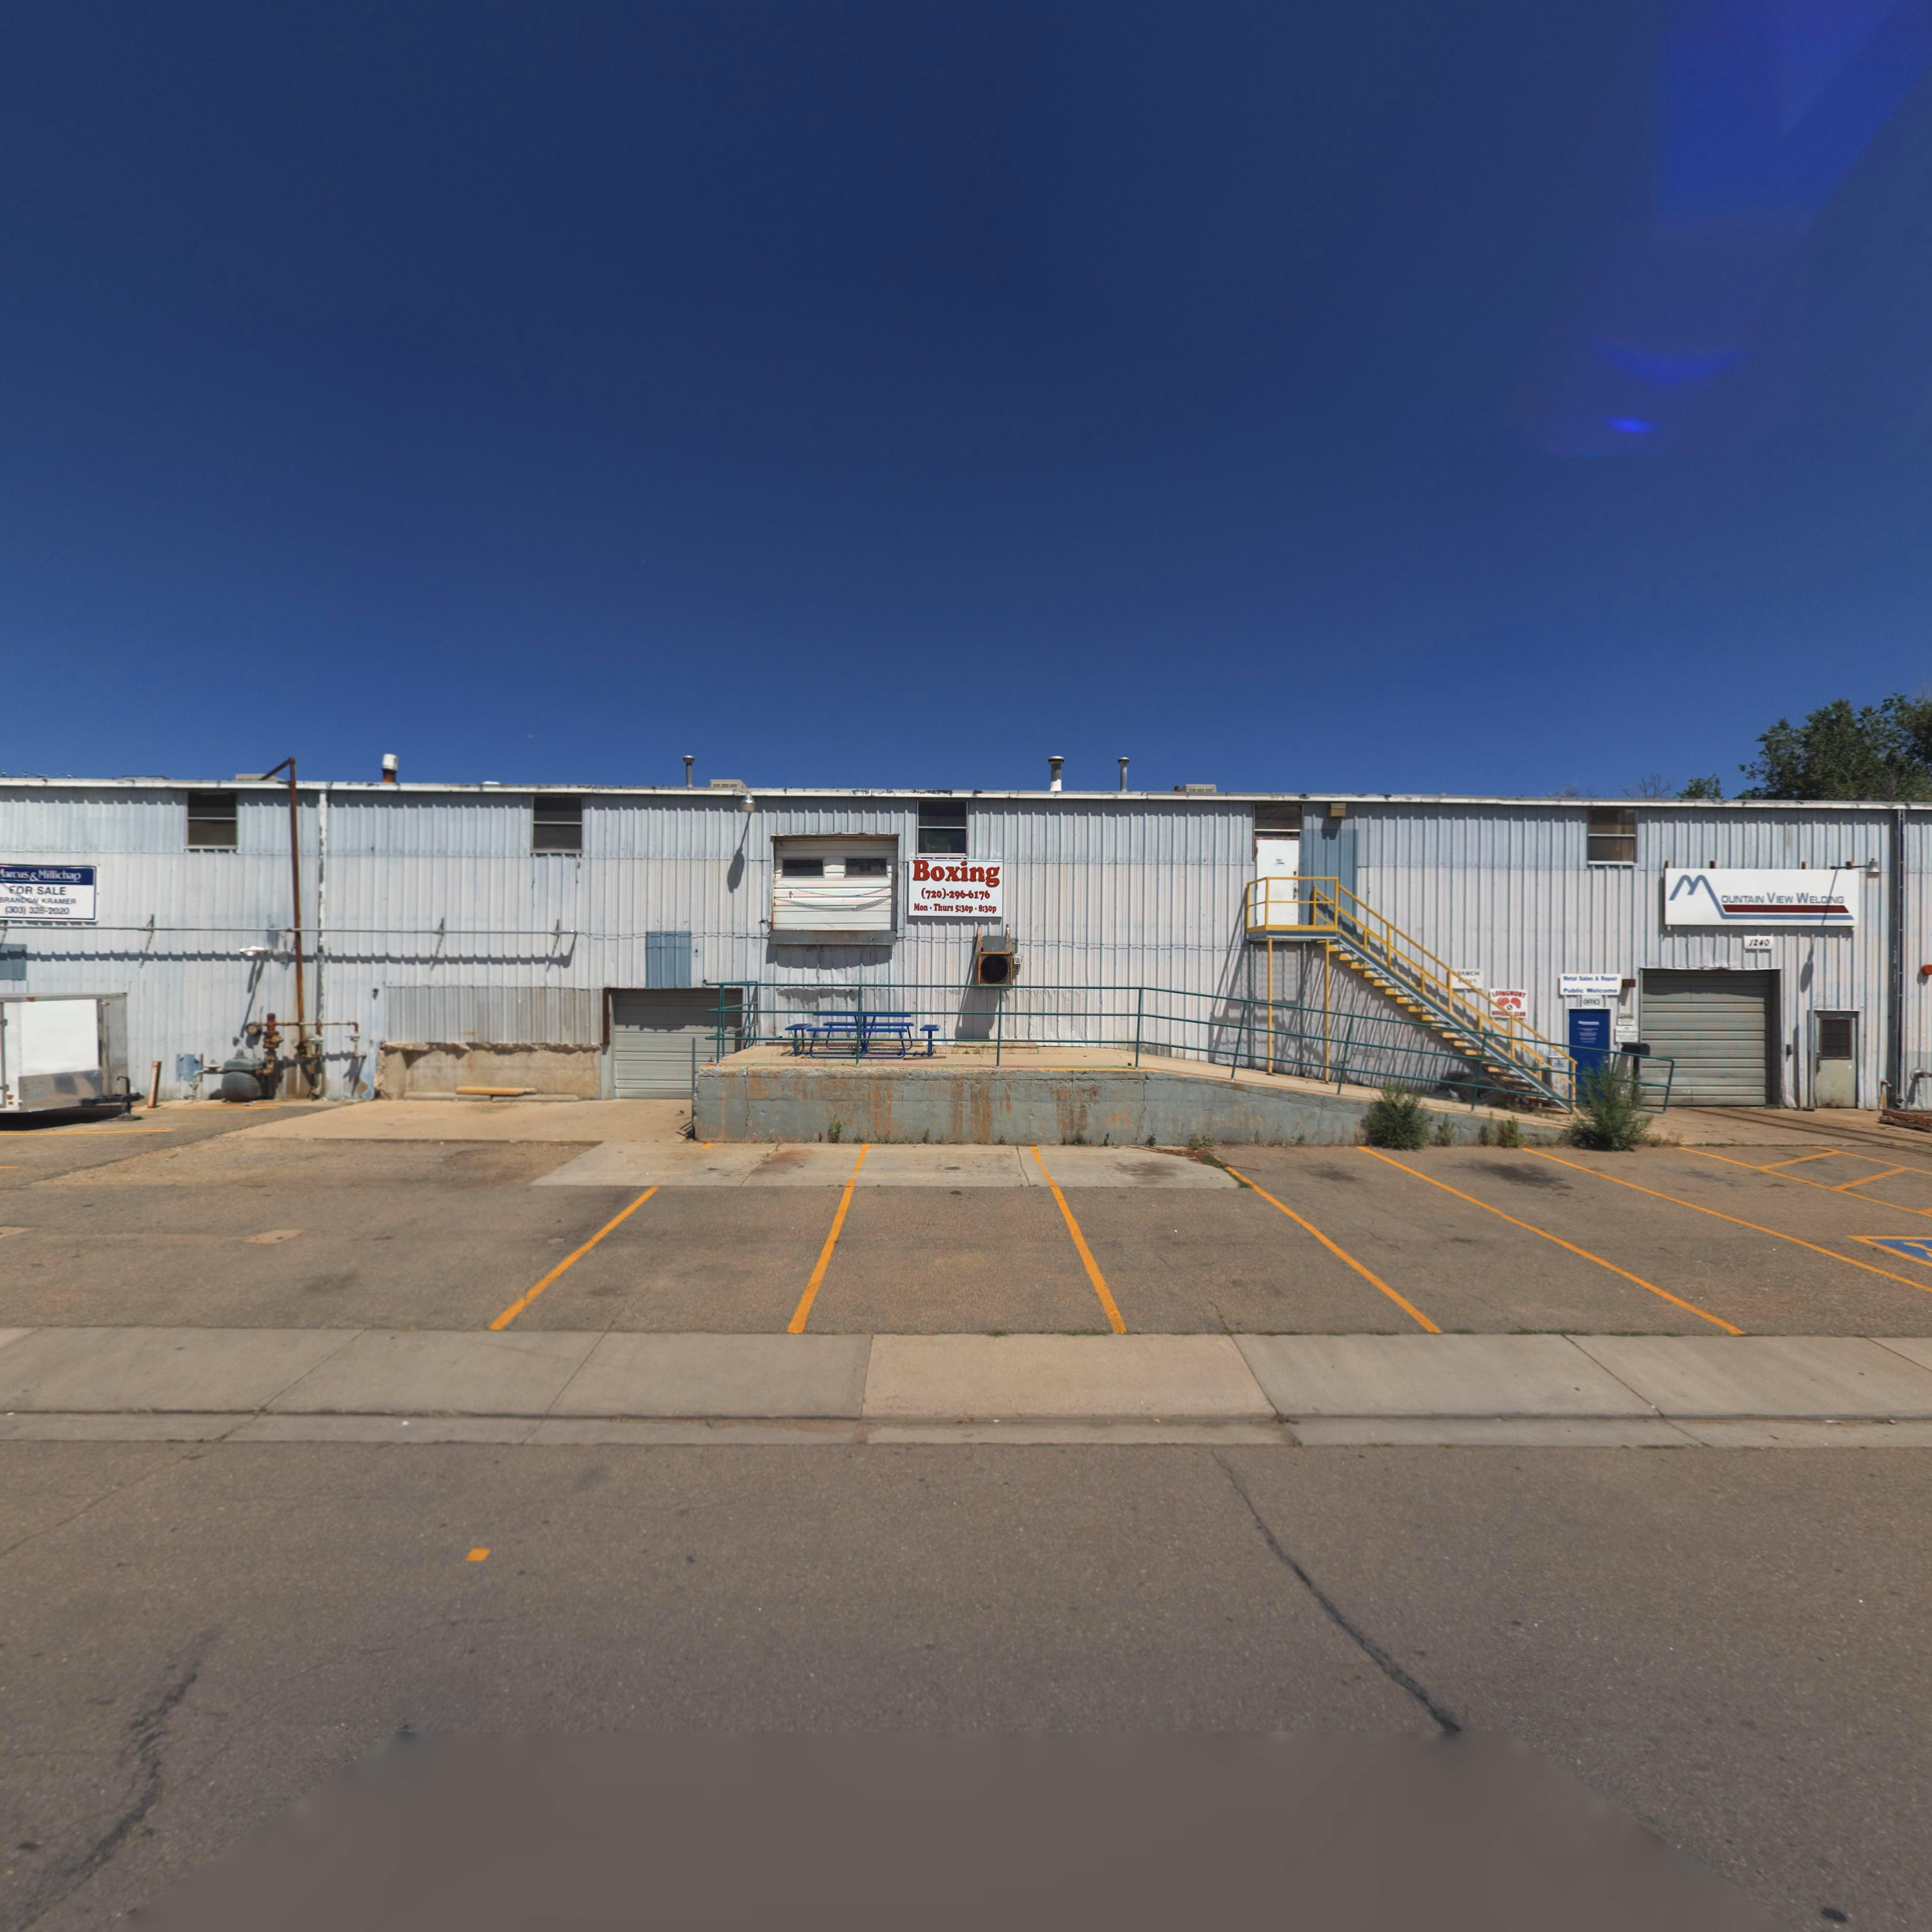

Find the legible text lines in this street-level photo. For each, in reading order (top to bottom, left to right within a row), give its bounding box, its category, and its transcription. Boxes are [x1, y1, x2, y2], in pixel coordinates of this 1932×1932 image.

[1720, 891, 1845, 904] BusinessName: OUNTAIN VIEW WELD*NG
[1748, 938, 1770, 947] StreetNumber: 1240
[1490, 989, 1527, 999] BusinessName: LONGMONT
[1491, 1010, 1526, 1016] StreetName: B**** CLUB